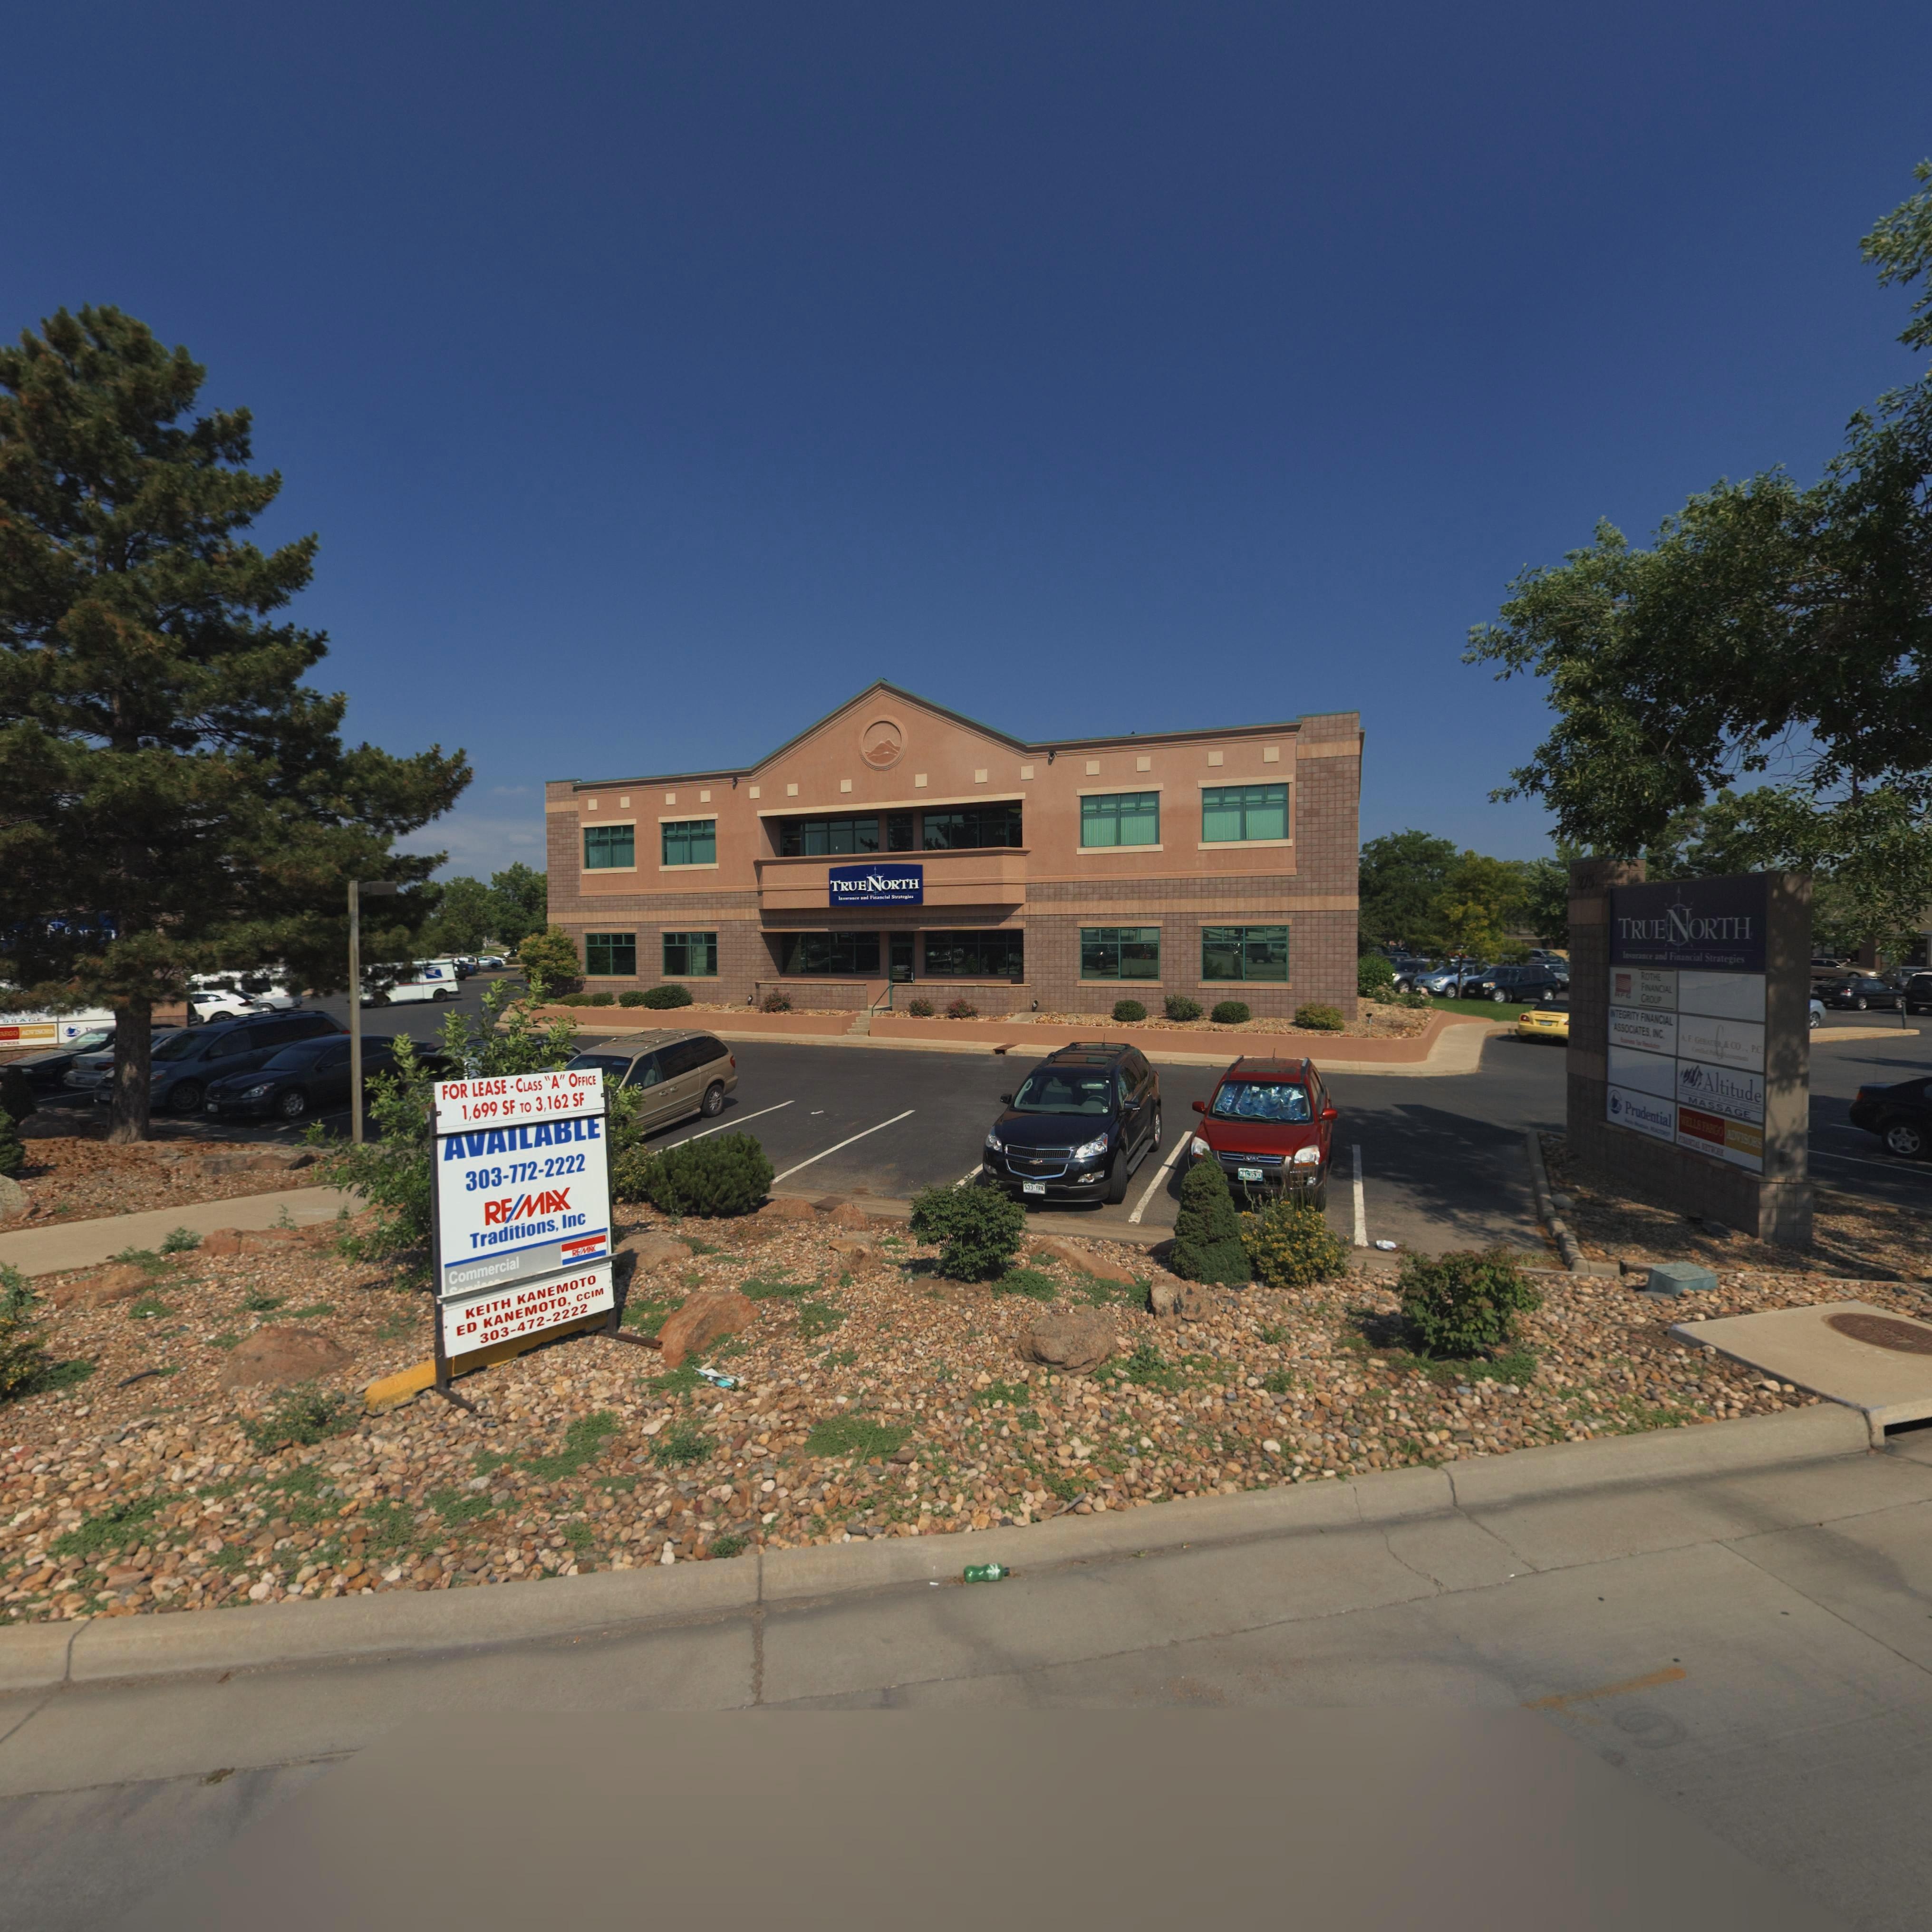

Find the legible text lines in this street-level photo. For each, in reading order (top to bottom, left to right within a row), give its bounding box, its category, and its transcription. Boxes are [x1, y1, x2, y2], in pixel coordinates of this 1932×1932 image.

[830, 875, 920, 891] BusinessName: TRUENORTH
[1577, 873, 1594, 890] StreetNumber: 275
[1617, 908, 1751, 942] BusinessName: TRUENORTH
[1640, 971, 1662, 981] BusinessName: ROTHE
[1614, 992, 1631, 999] BusinessName: RFG
[1640, 993, 1662, 1005] BusinessName: GROUP
[1641, 982, 1672, 994] BusinessName: FINANCIAL
[2, 1017, 45, 1023] BusinessName: SSAGE
[1609, 1008, 1674, 1026] BusinessName: INTEGRITY FINANCIAL
[3, 1028, 54, 1036] BusinessName: RGO ADVISORS
[1613, 1022, 1665, 1039] BusinessName: ASSOCIATES, INC.
[1679, 1034, 1764, 1055] BusinessName: A. E. GEBAUER & CO . . P.C.
[1701, 1072, 1762, 1103] BusinessName: Altitude
[1624, 1100, 1672, 1128] BusinessName: Prudential
[1688, 1096, 1750, 1119] BusinessName: MASSAGE
[1680, 1114, 1762, 1149] BusinessName: WELLS FARGO ADVISOR